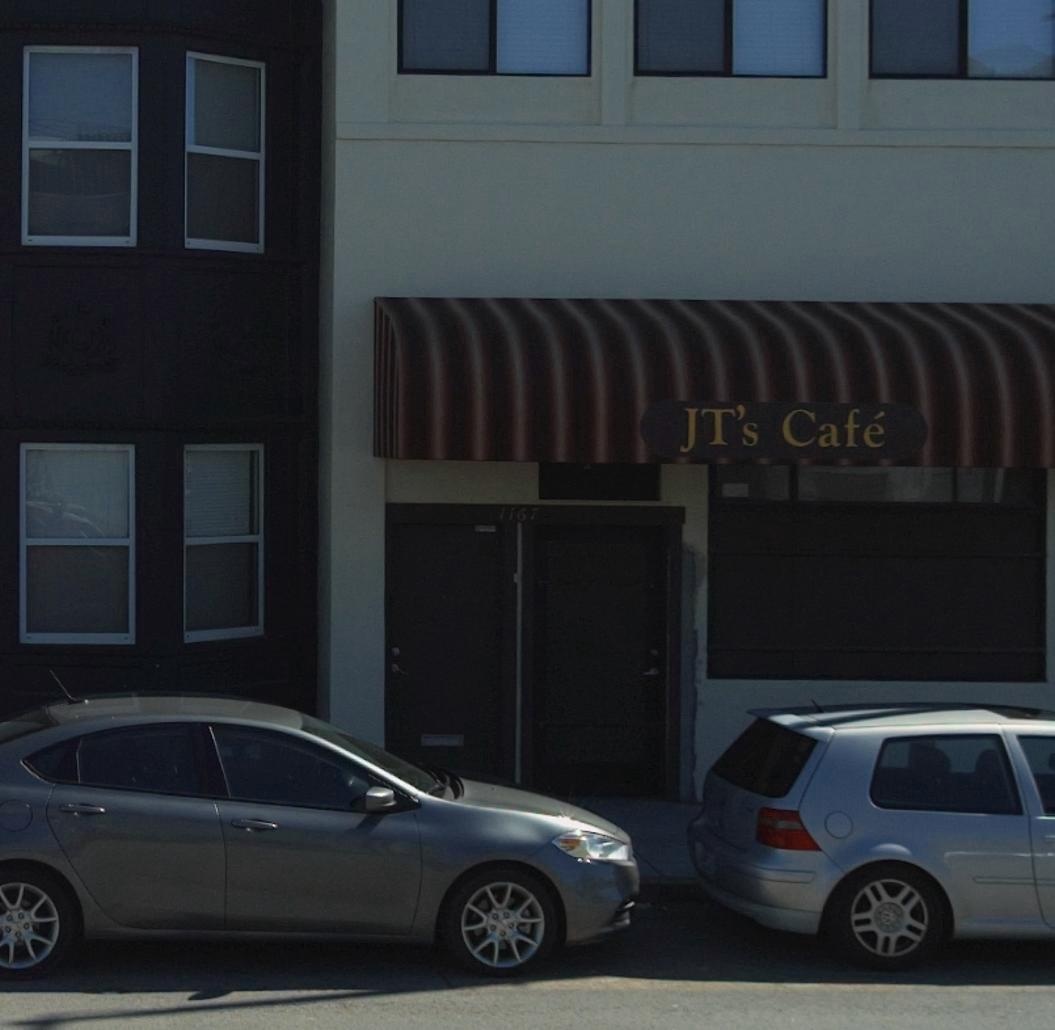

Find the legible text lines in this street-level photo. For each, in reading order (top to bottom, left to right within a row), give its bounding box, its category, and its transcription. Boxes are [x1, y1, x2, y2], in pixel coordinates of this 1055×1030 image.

[676, 402, 894, 458] BusinessName: JT's Cafe
[505, 503, 546, 526] StreetNumber: 1167